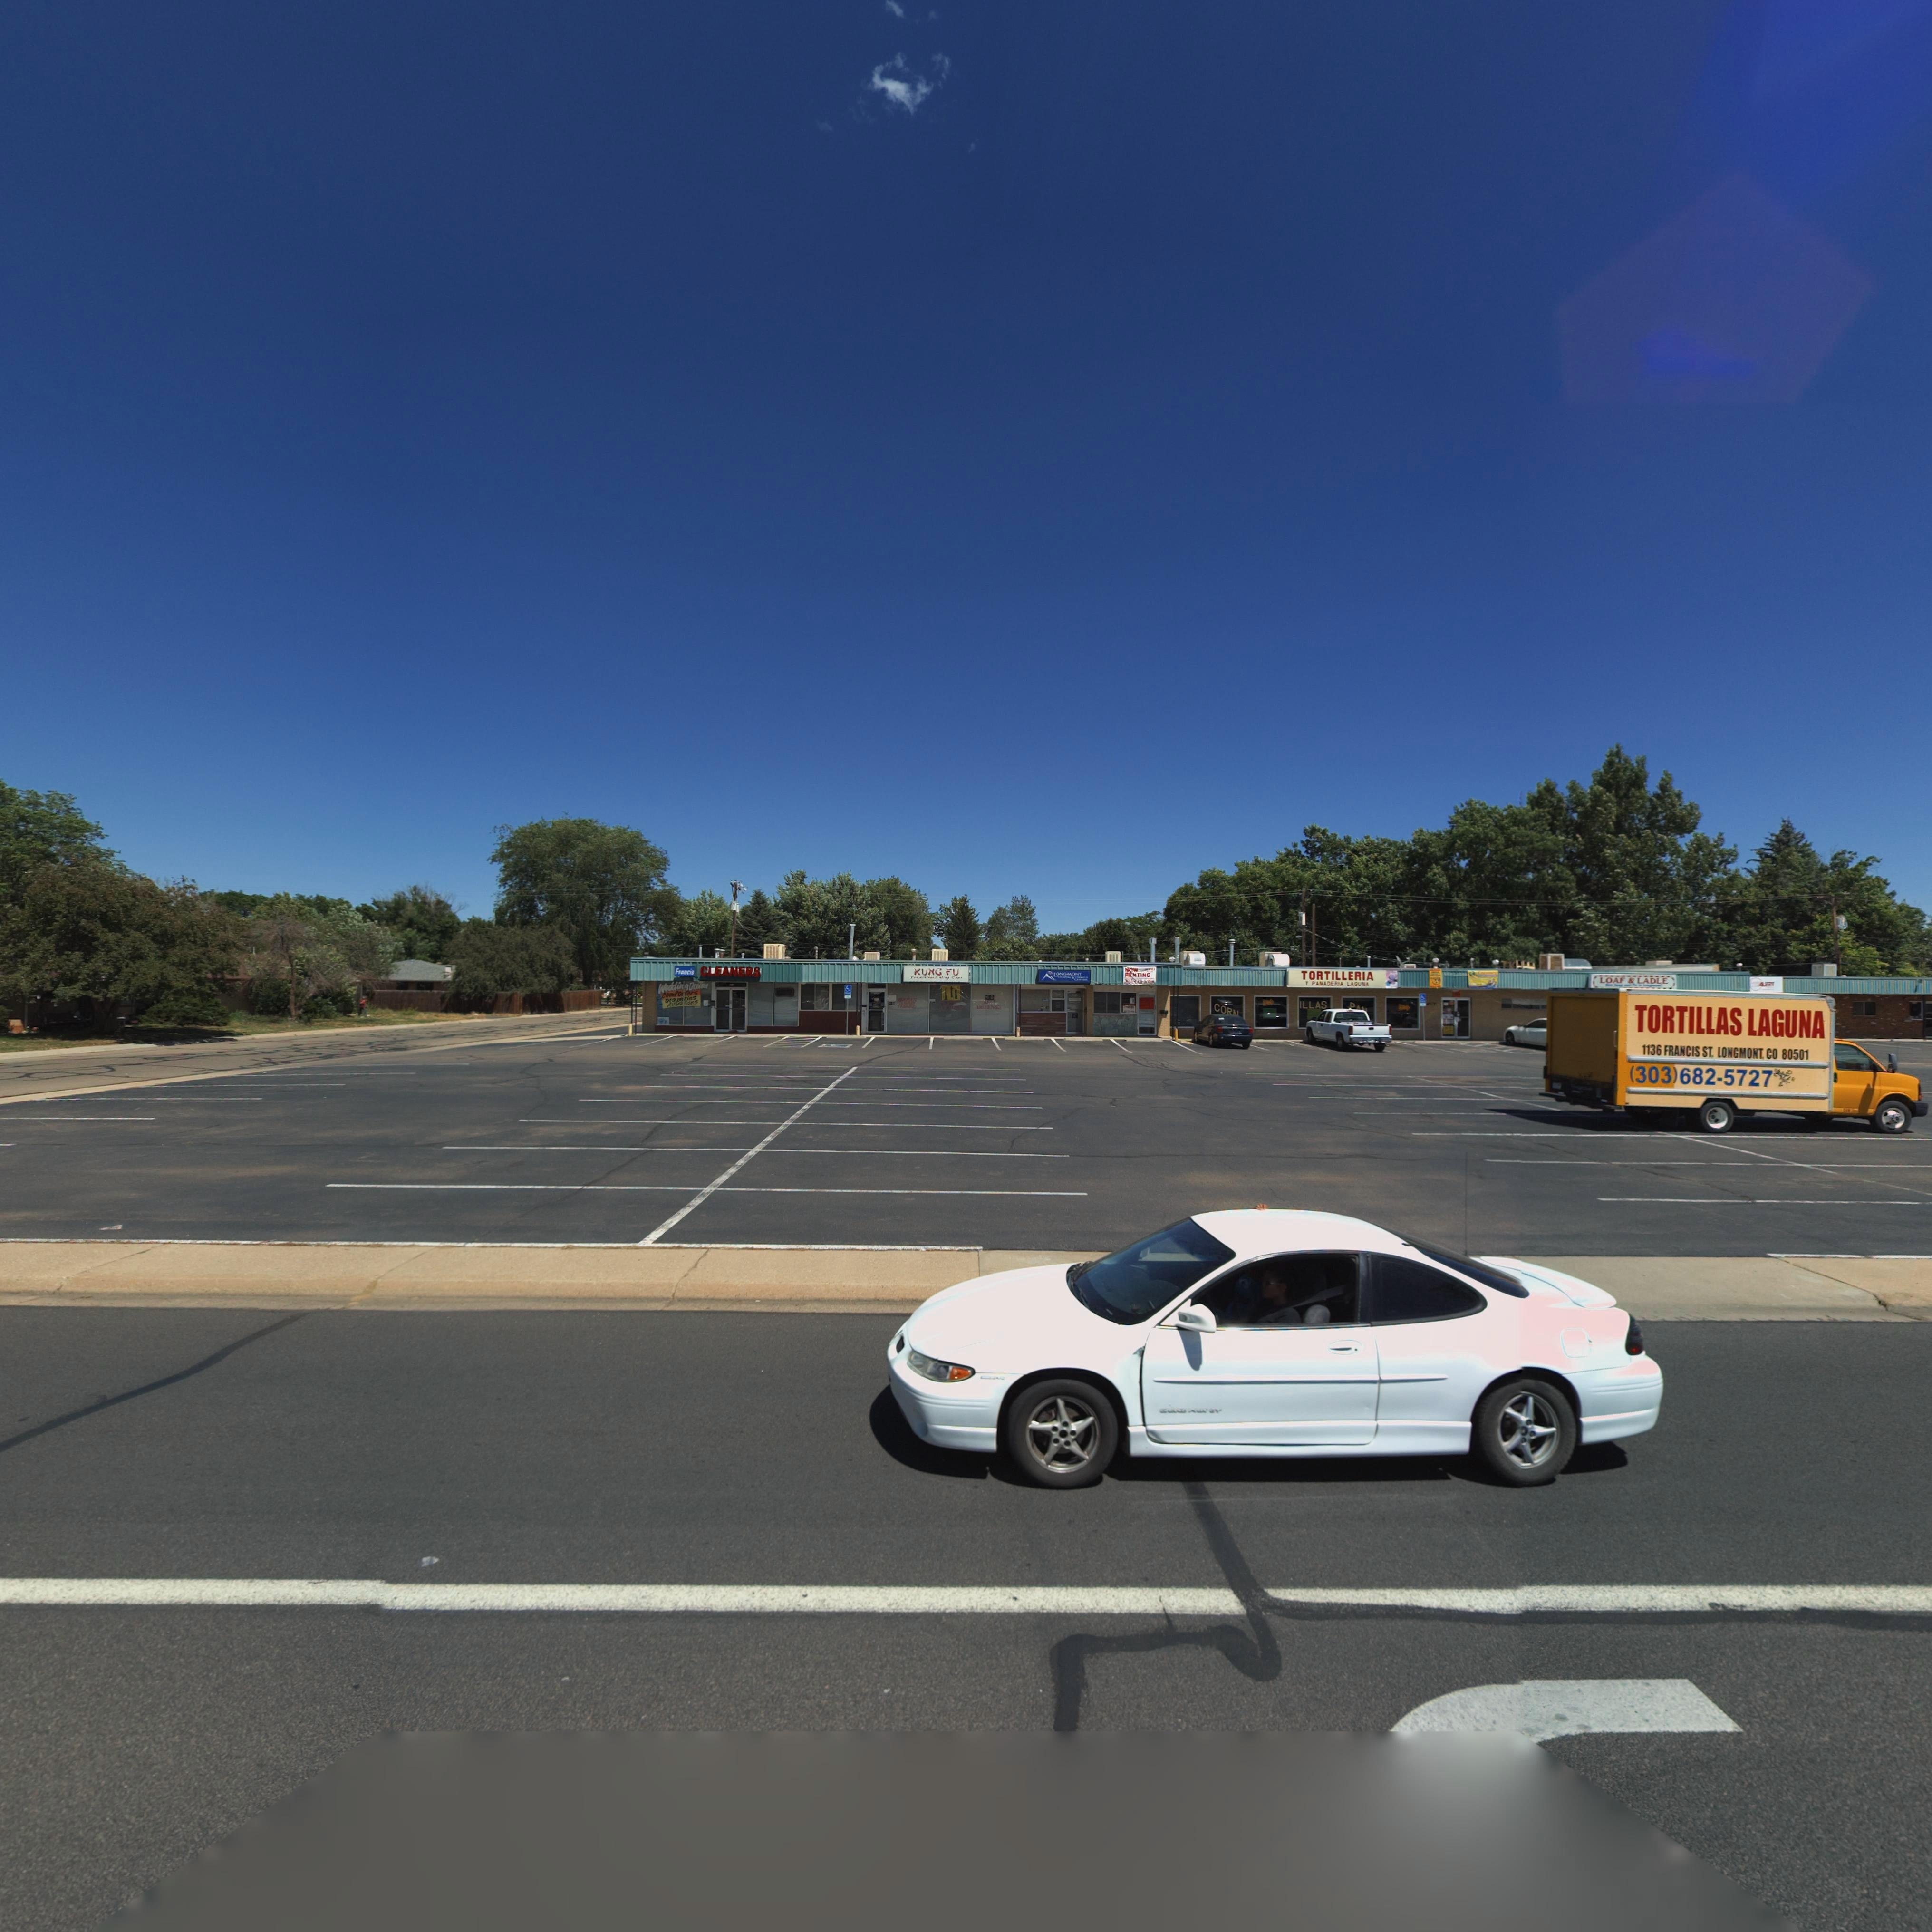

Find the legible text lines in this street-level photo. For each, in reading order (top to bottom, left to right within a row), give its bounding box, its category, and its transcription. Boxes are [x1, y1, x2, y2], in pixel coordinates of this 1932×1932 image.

[675, 968, 694, 975] BusinessName: Francis
[700, 966, 761, 977] BusinessName: CLEANERS
[914, 968, 959, 976] BusinessName: KUNG FU
[910, 976, 962, 980] BusinessName: T*********l Win* Ch**
[1053, 972, 1082, 976] BusinessName: LONGMONT
[1301, 970, 1373, 981] BusinessName: TORTILLERIA
[1305, 981, 1370, 986] BusinessName: * PANADERIA LAGUNA
[1600, 977, 1668, 984] BusinessName: LOAF & LADLE
[1072, 994, 1077, 996] None: 1***